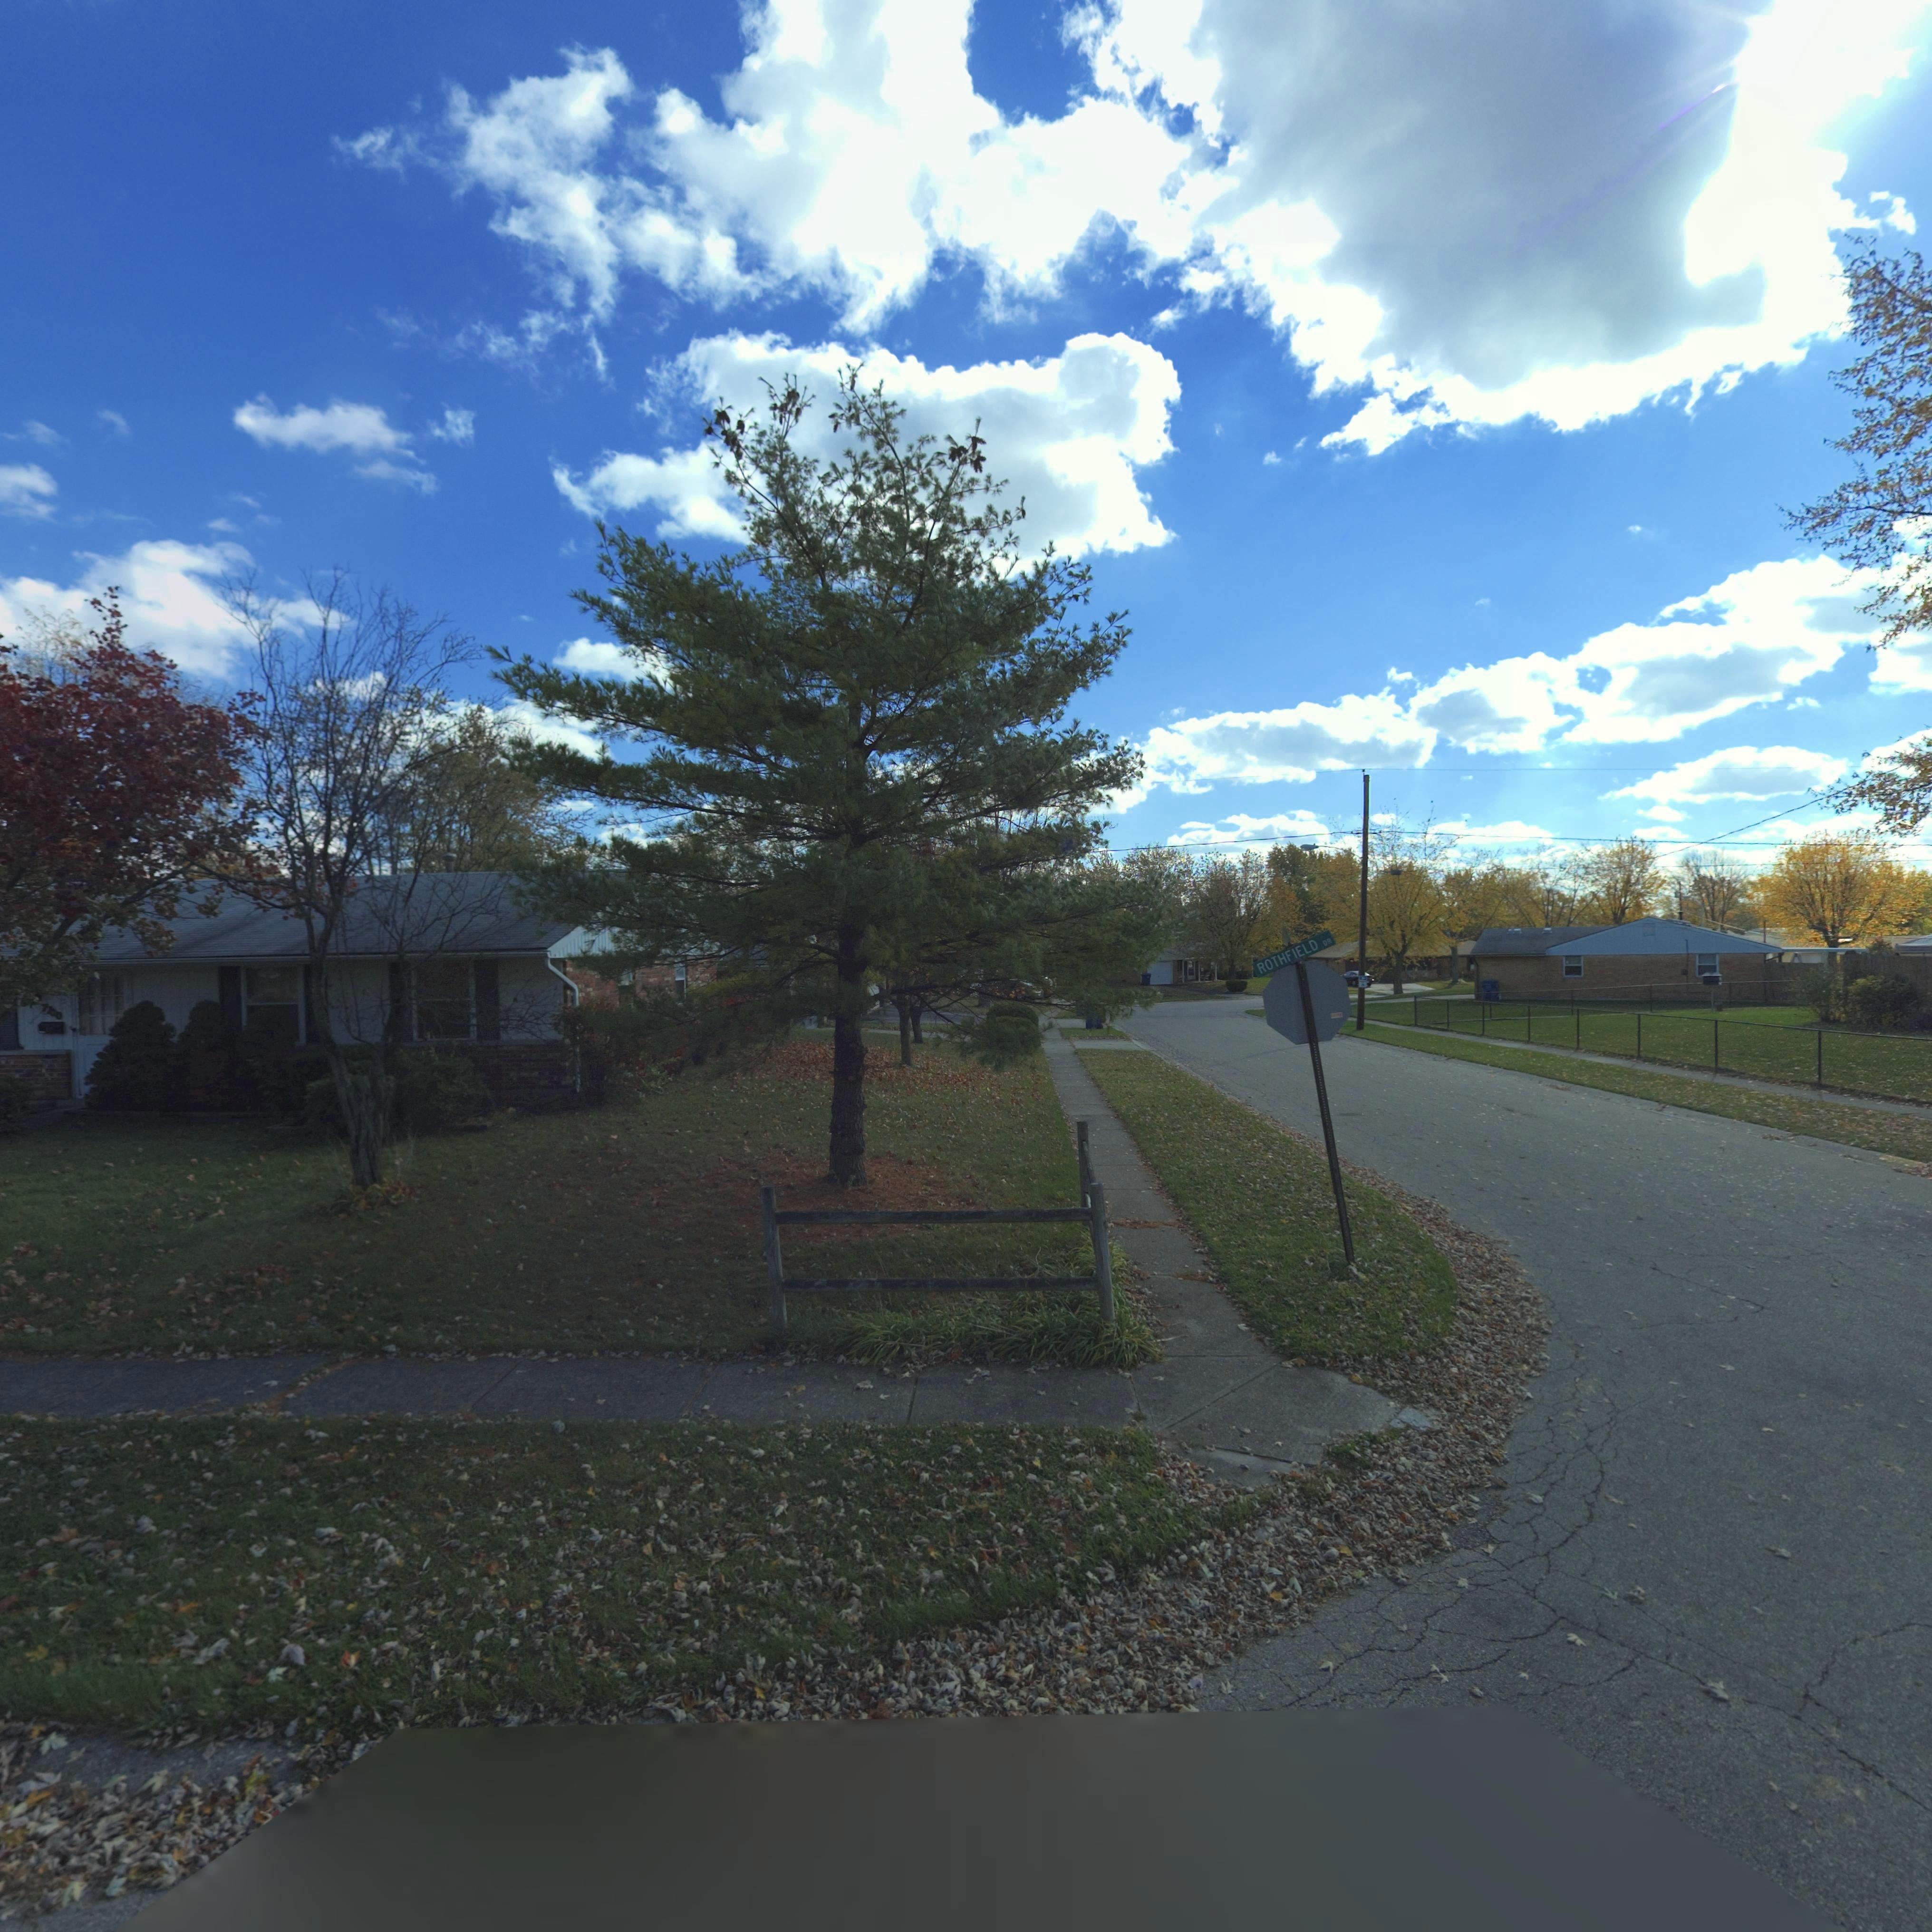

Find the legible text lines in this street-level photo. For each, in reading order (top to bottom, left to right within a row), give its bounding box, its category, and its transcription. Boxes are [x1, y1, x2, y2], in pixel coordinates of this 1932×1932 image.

[1255, 937, 1333, 976] StreetName: ROTHFIELD DR
[40, 1003, 63, 1021] StreetNumber: 7700